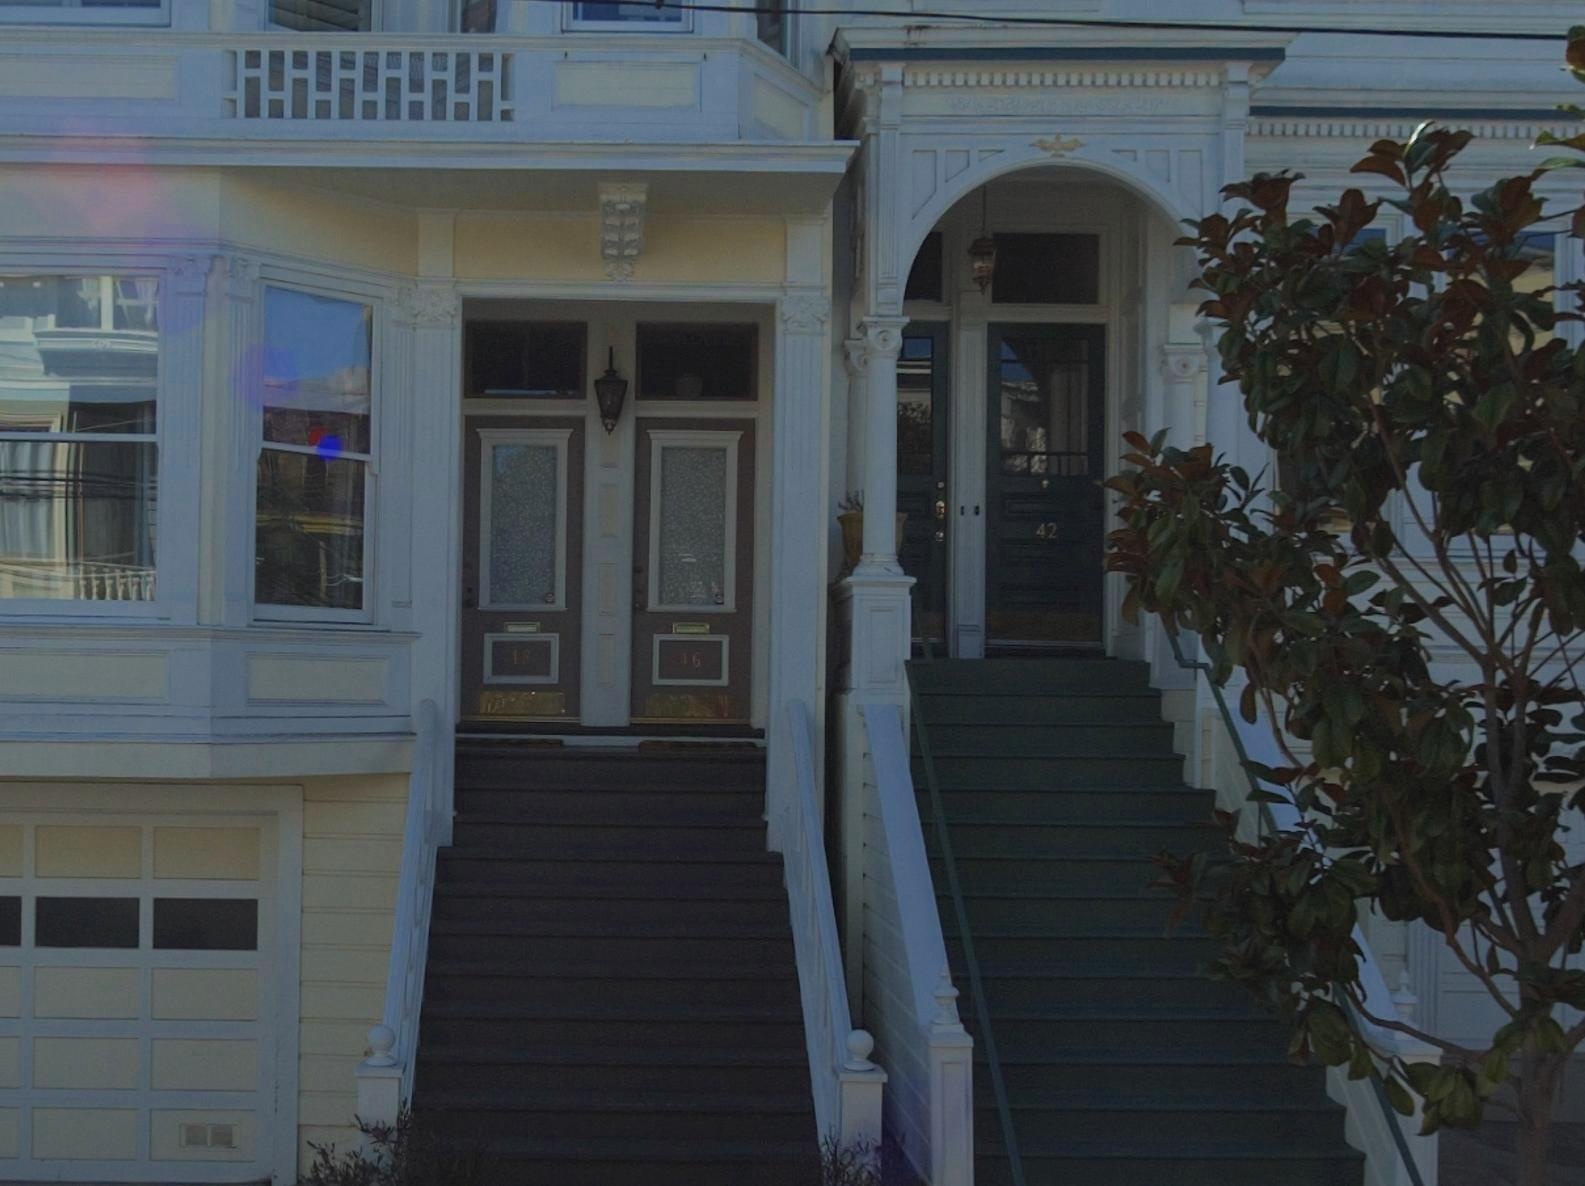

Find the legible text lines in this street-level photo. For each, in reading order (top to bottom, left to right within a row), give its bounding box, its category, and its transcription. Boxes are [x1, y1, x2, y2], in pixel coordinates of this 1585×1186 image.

[1034, 521, 1059, 540] StreetNumber: 42
[508, 648, 532, 666] StreetNumber: 48
[677, 650, 702, 669] StreetNumber: 46